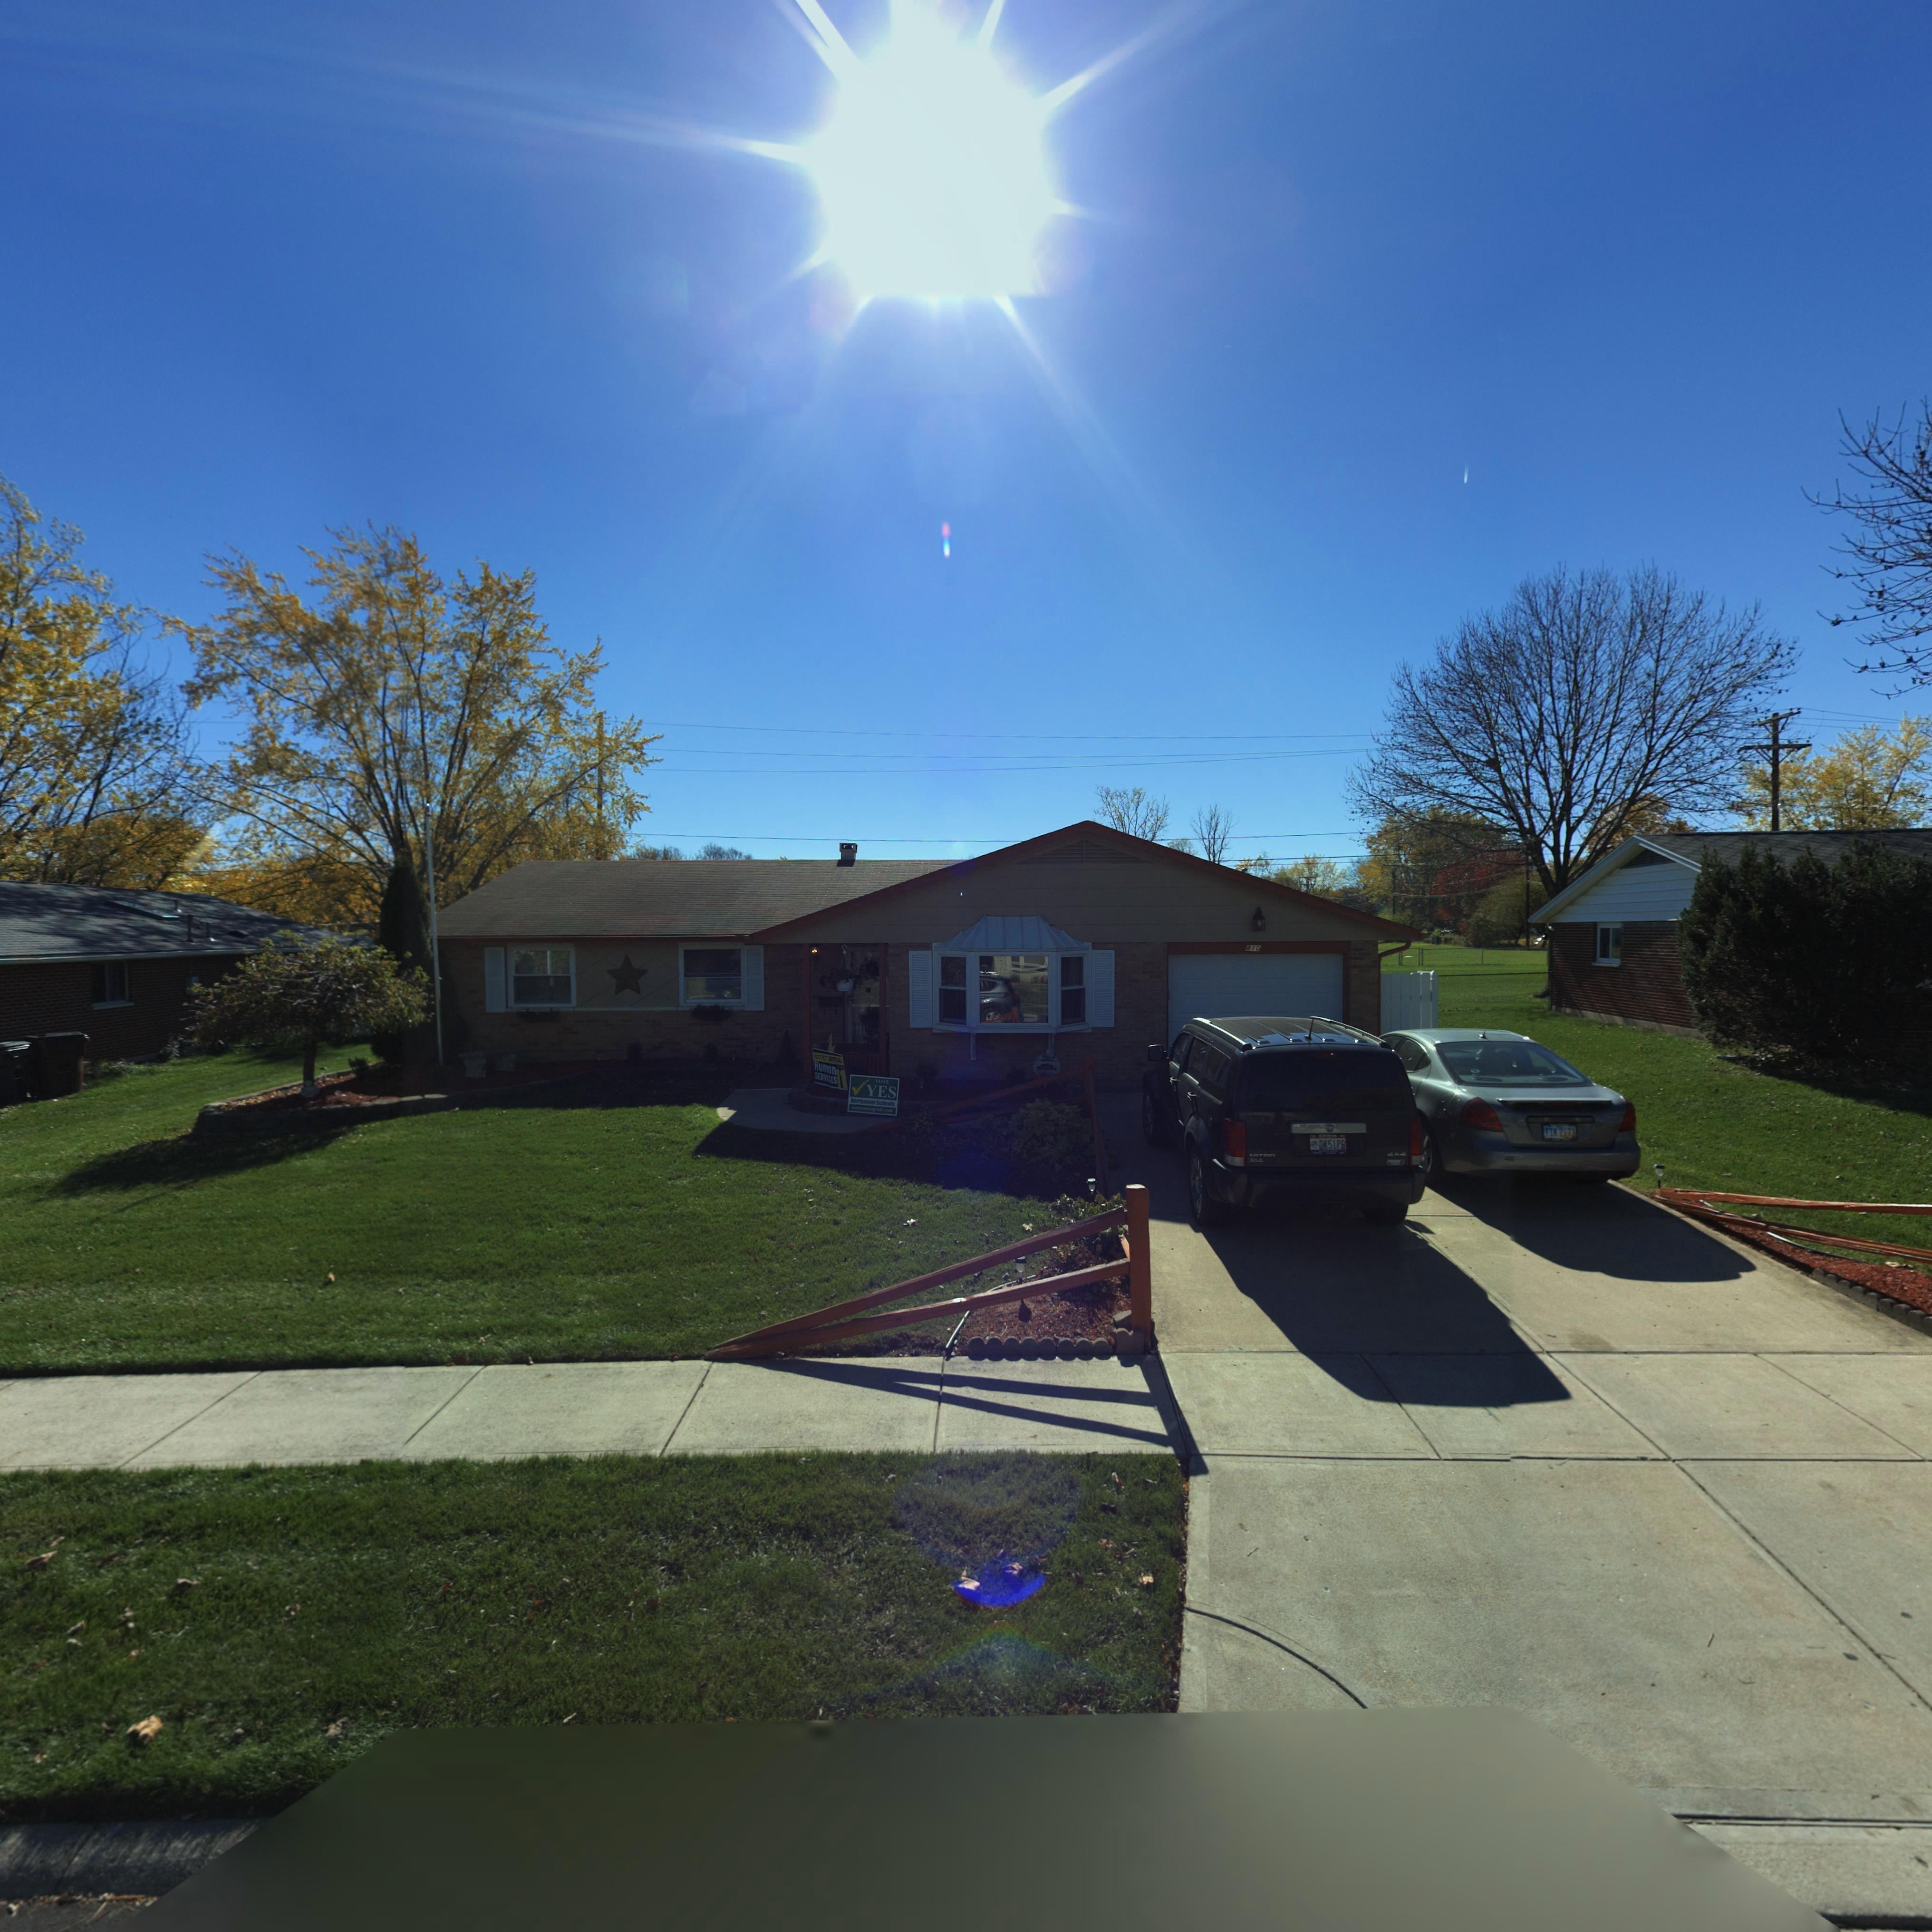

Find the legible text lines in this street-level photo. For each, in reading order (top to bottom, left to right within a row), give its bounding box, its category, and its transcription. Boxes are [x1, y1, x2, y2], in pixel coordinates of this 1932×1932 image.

[1246, 945, 1261, 951] StreetNumber: 810